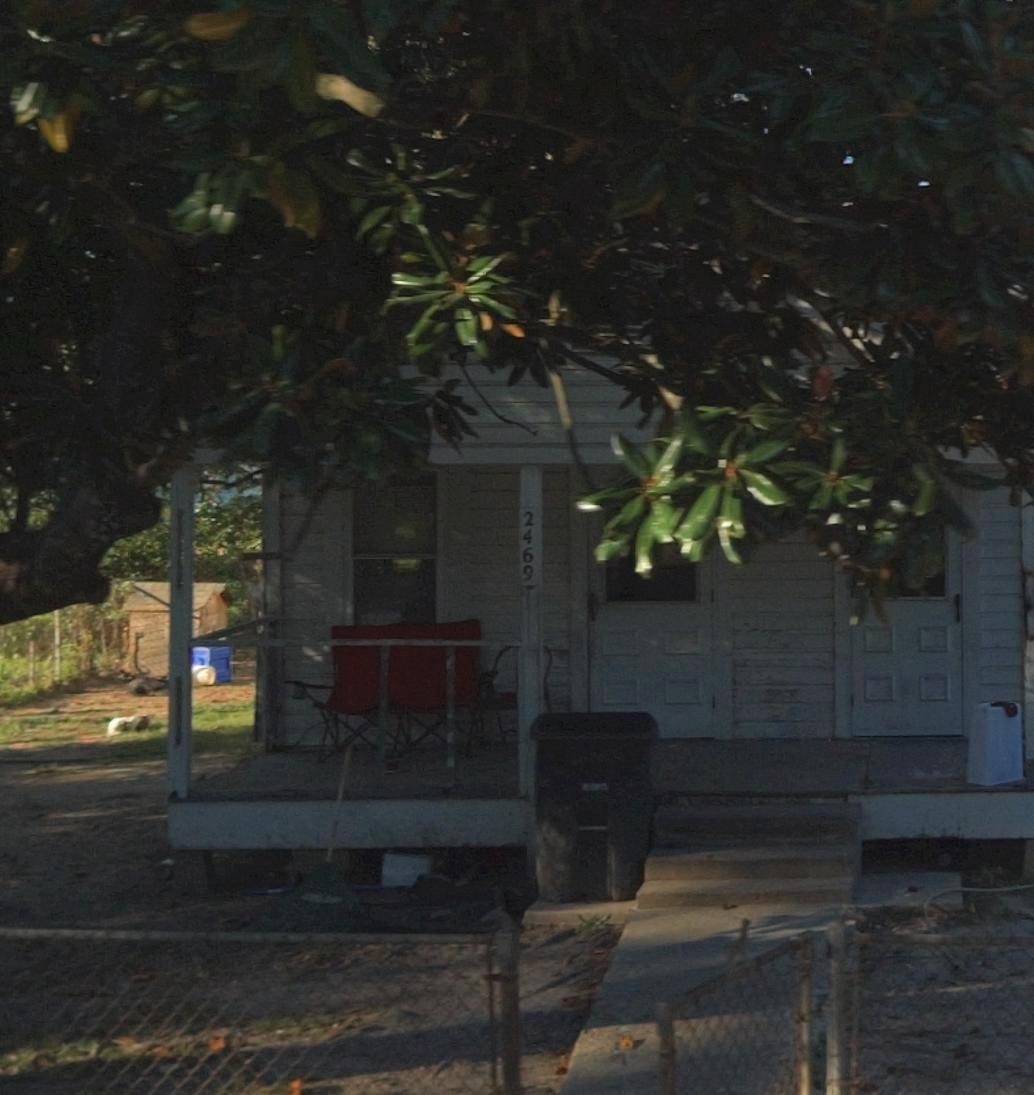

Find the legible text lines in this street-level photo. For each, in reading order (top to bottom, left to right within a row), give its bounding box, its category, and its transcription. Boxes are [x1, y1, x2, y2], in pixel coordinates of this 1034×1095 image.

[522, 511, 534, 582] StreetNumber: 2469